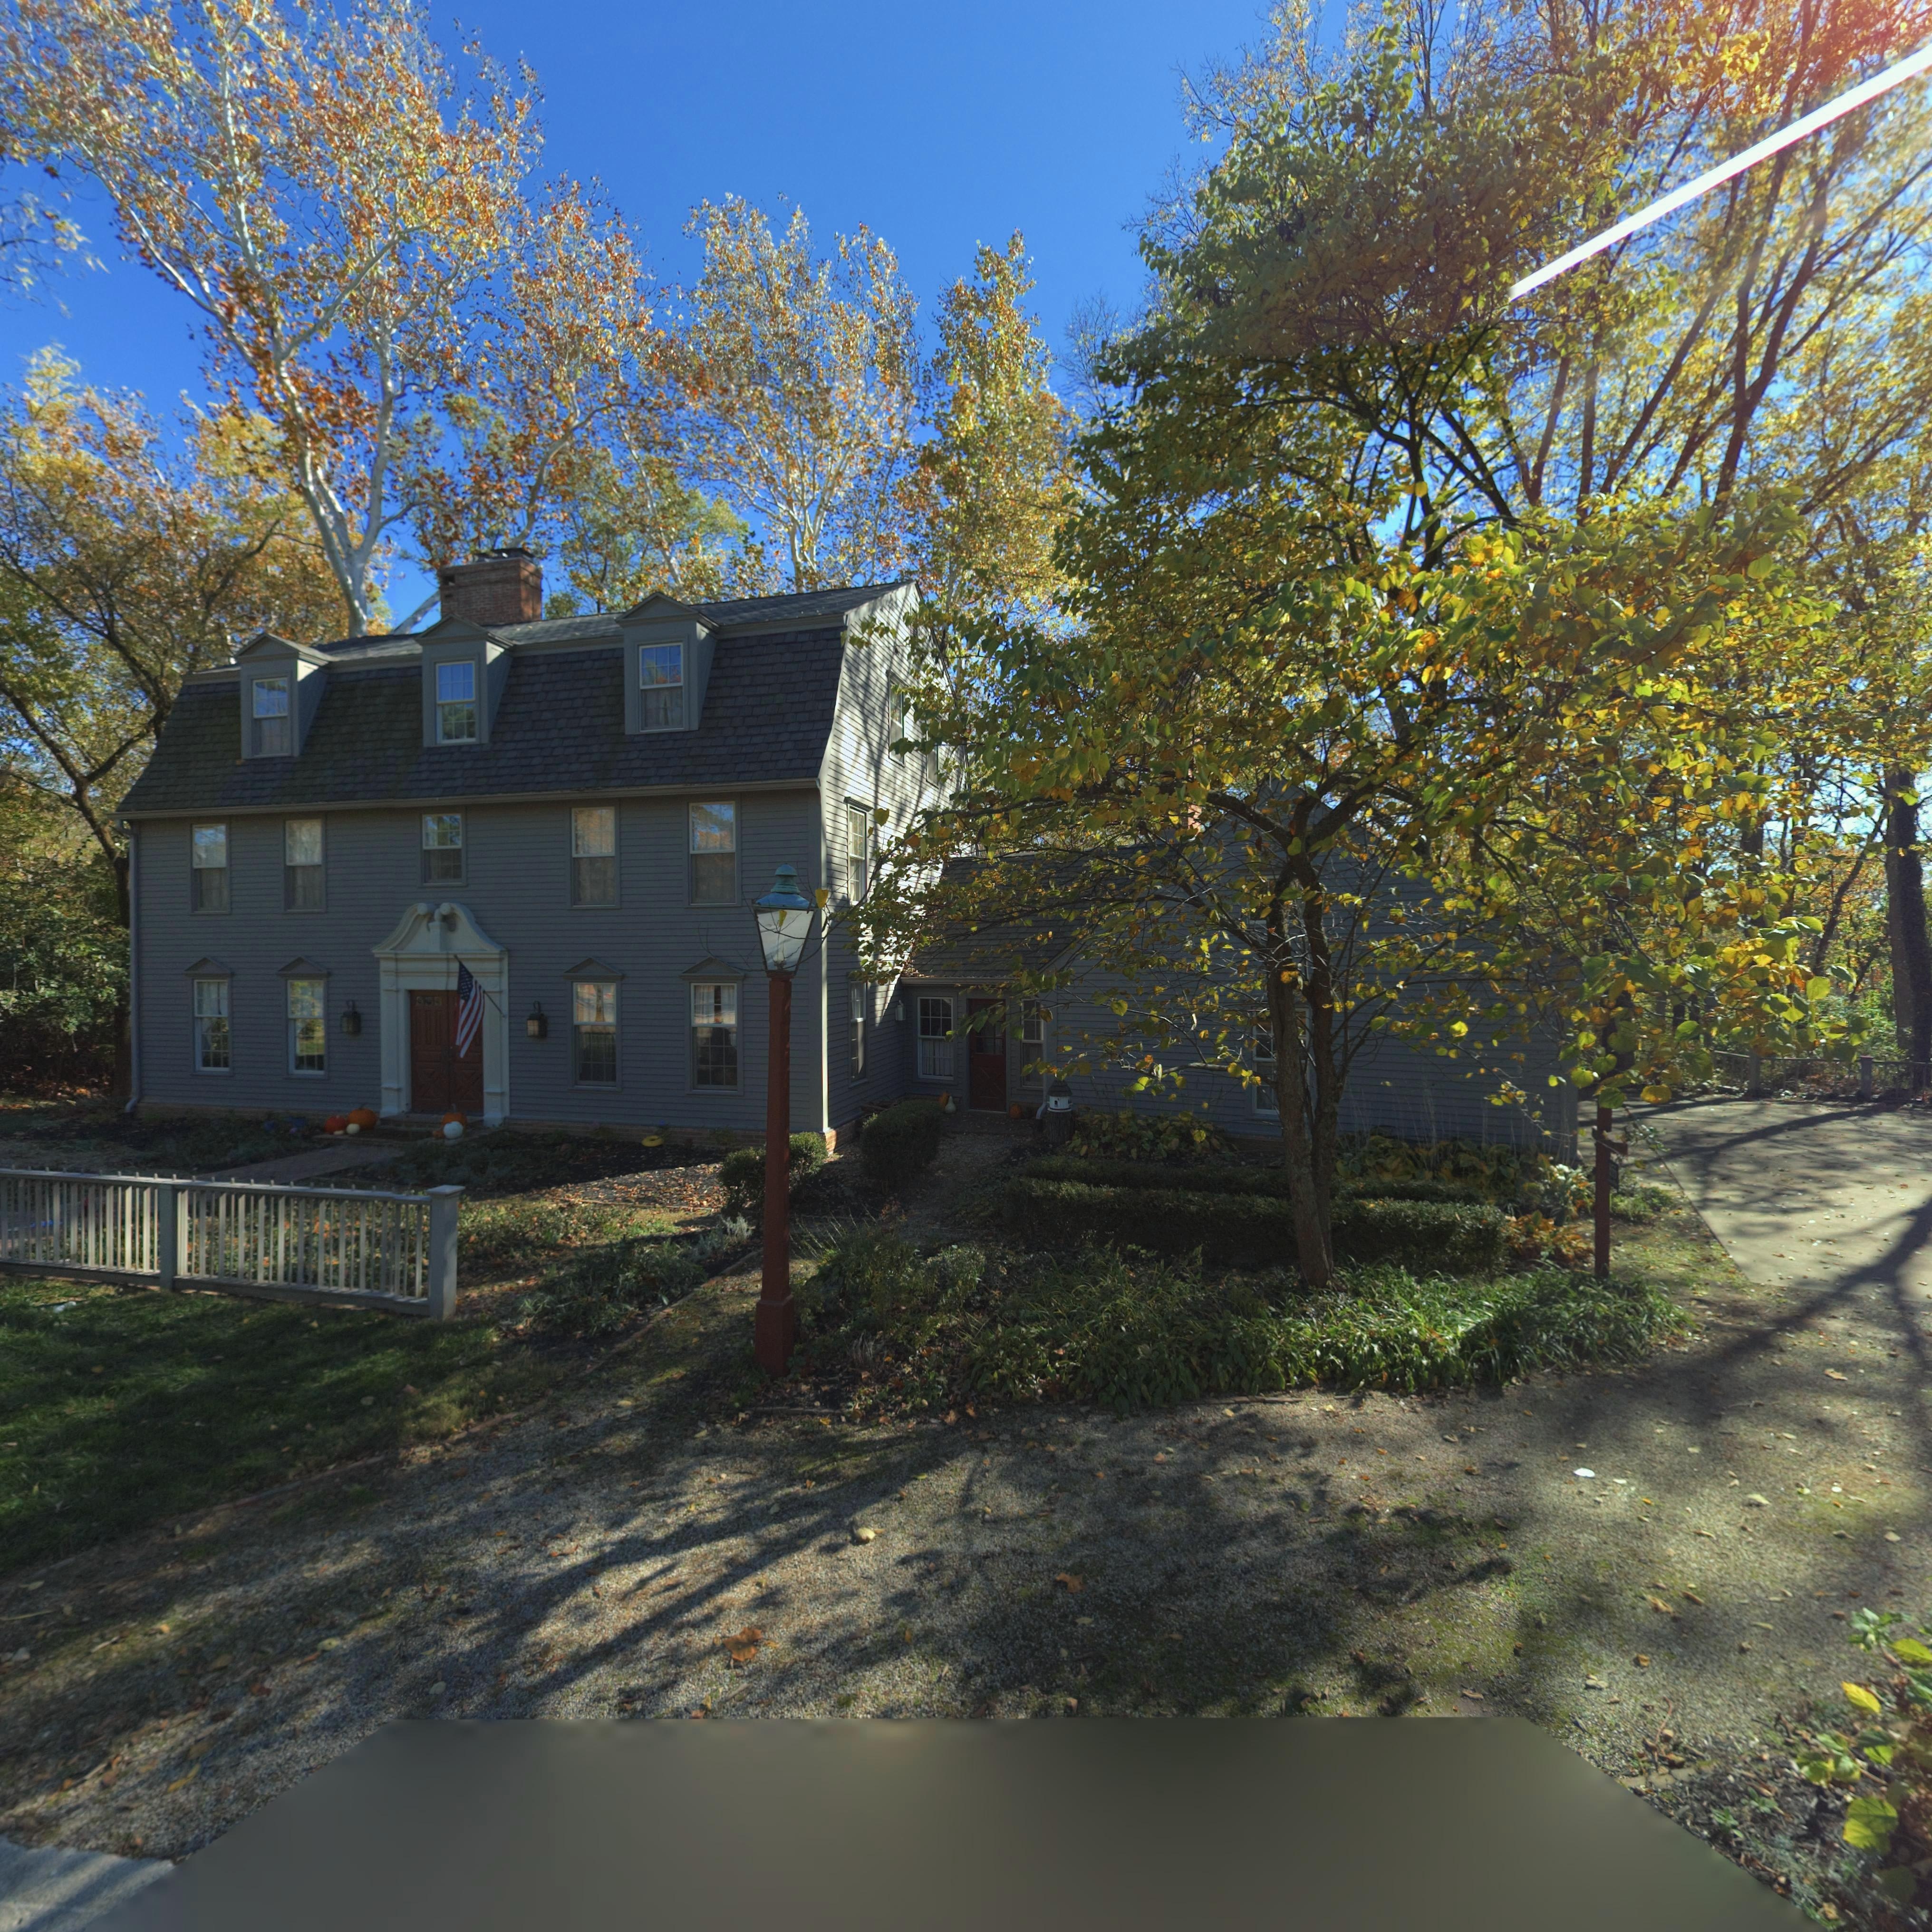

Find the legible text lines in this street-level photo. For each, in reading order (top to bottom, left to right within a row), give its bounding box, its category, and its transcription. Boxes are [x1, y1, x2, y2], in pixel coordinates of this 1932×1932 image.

[1608, 1161, 1618, 1181] StreetNumber: 855